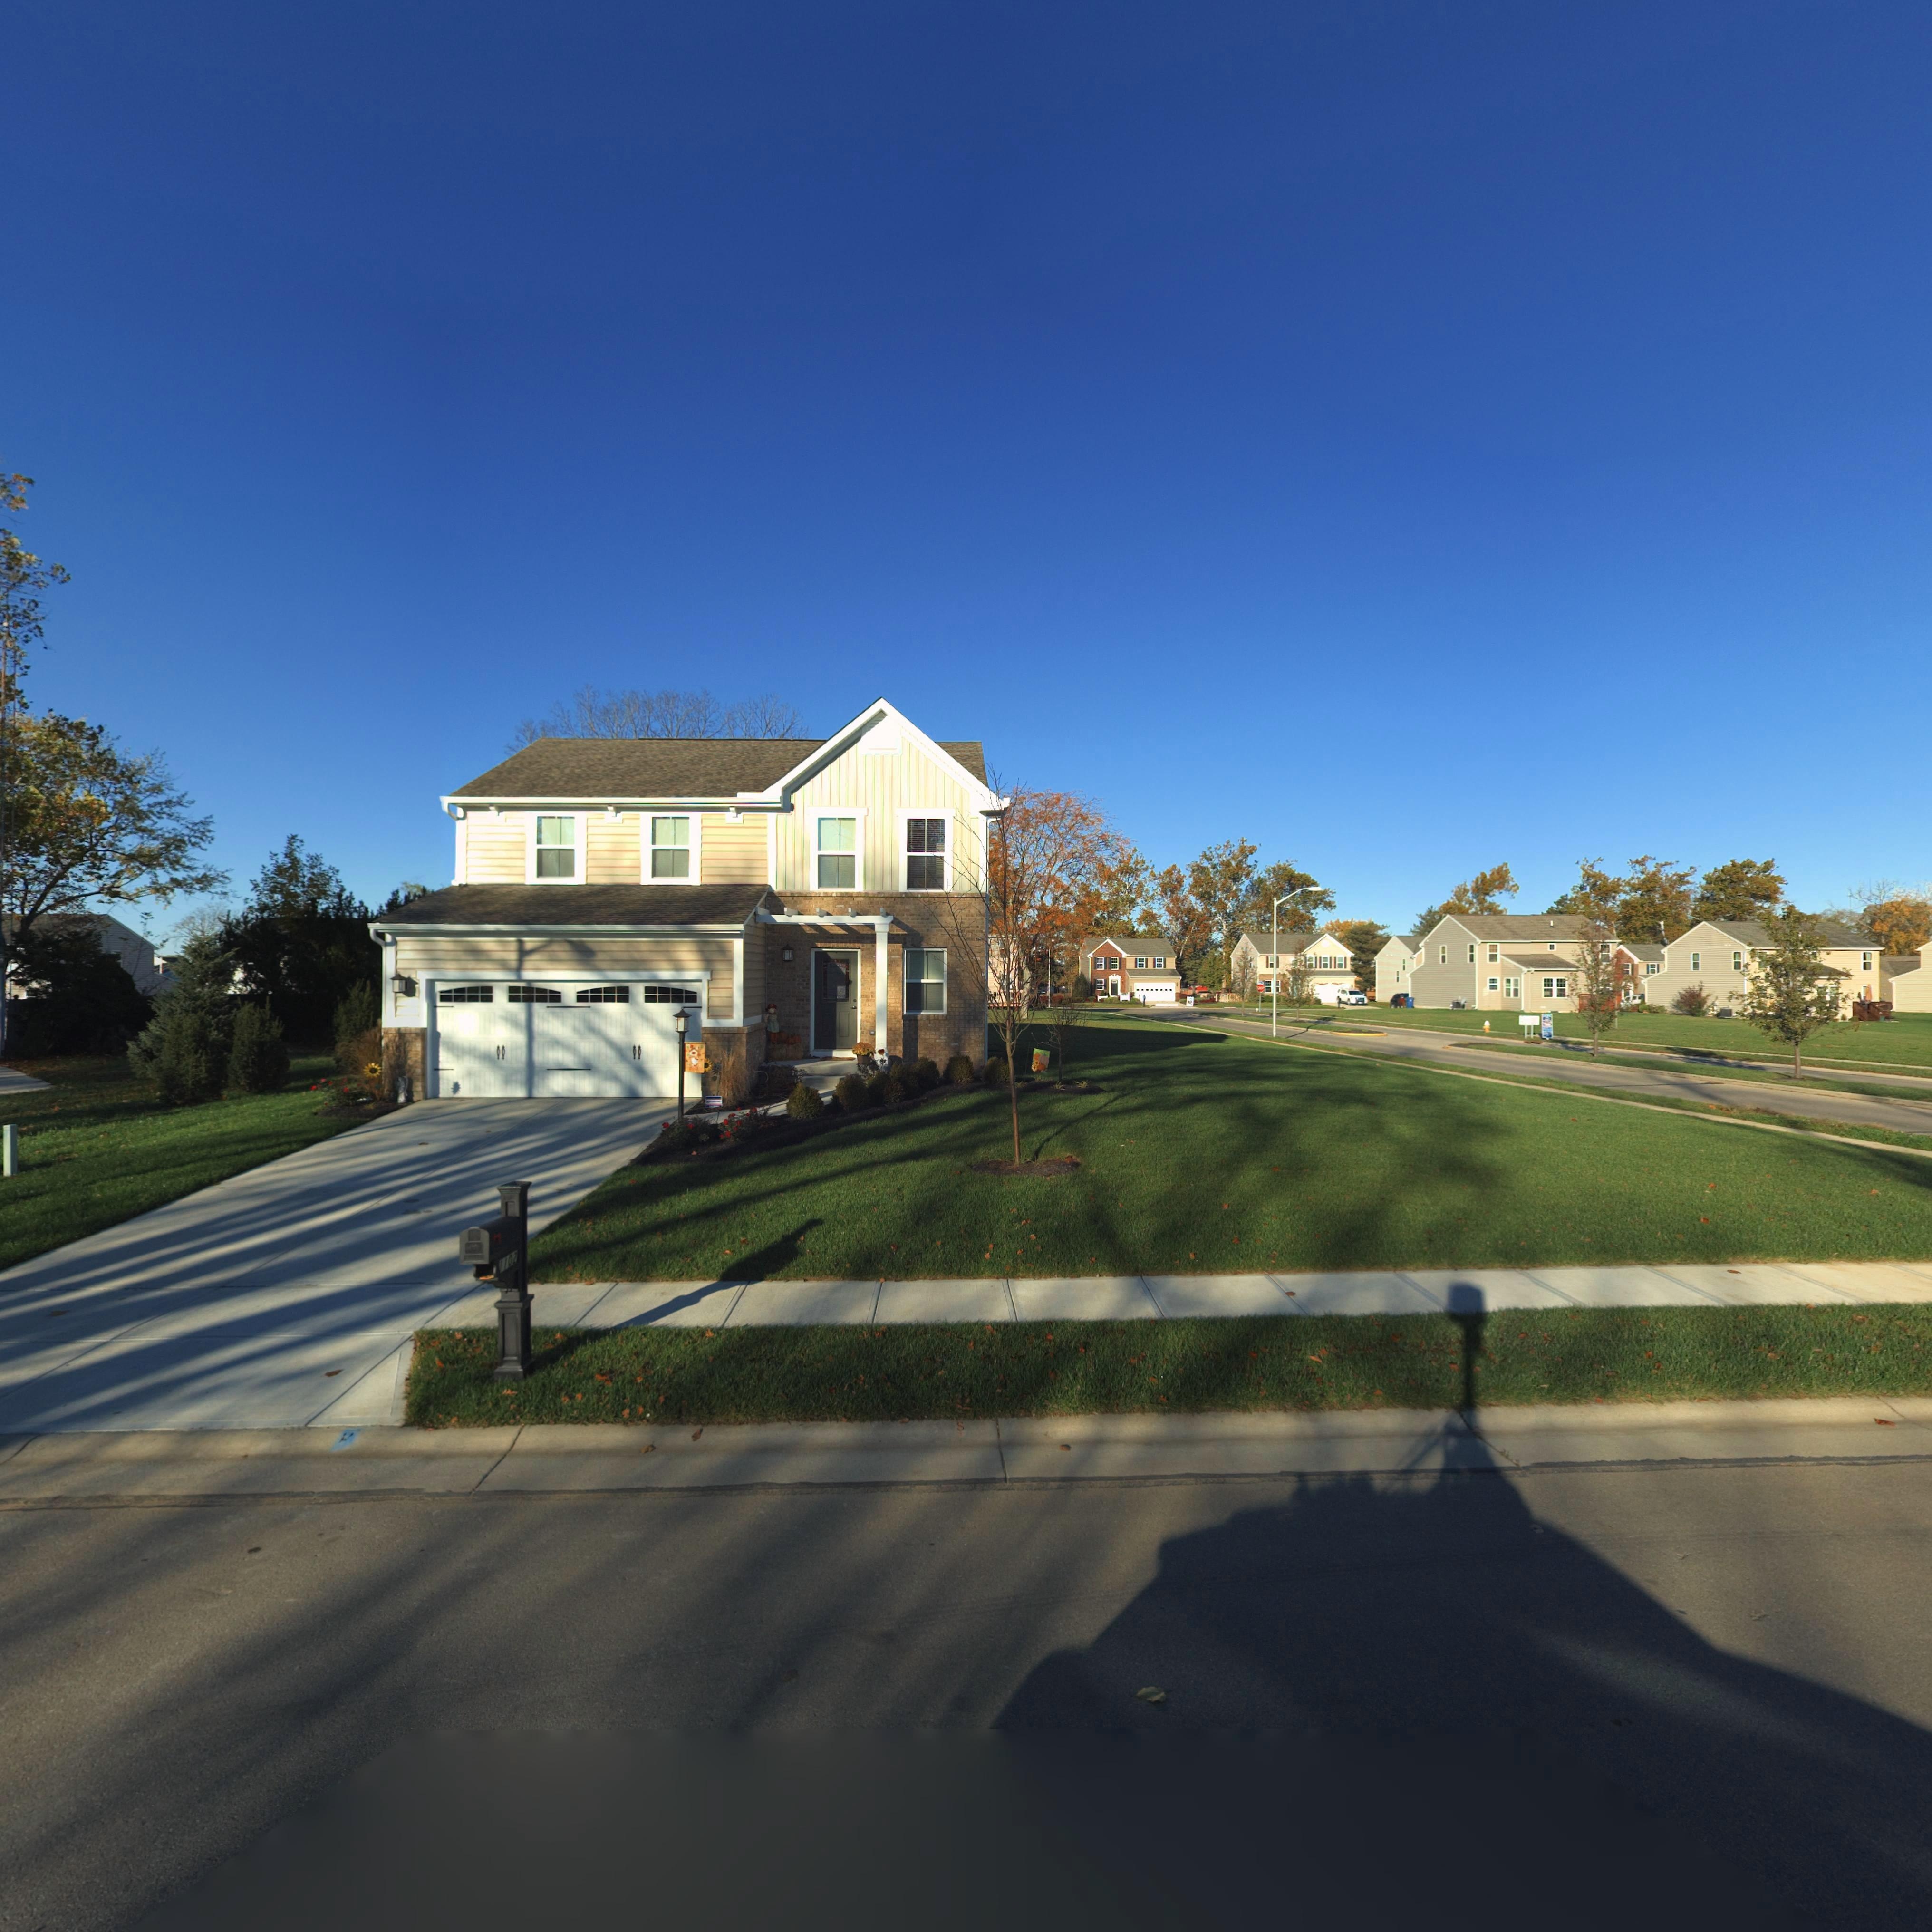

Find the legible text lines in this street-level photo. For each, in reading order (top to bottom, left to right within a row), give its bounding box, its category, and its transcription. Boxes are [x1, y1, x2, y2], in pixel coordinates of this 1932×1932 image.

[500, 1250, 518, 1274] StreetNumber: 1102